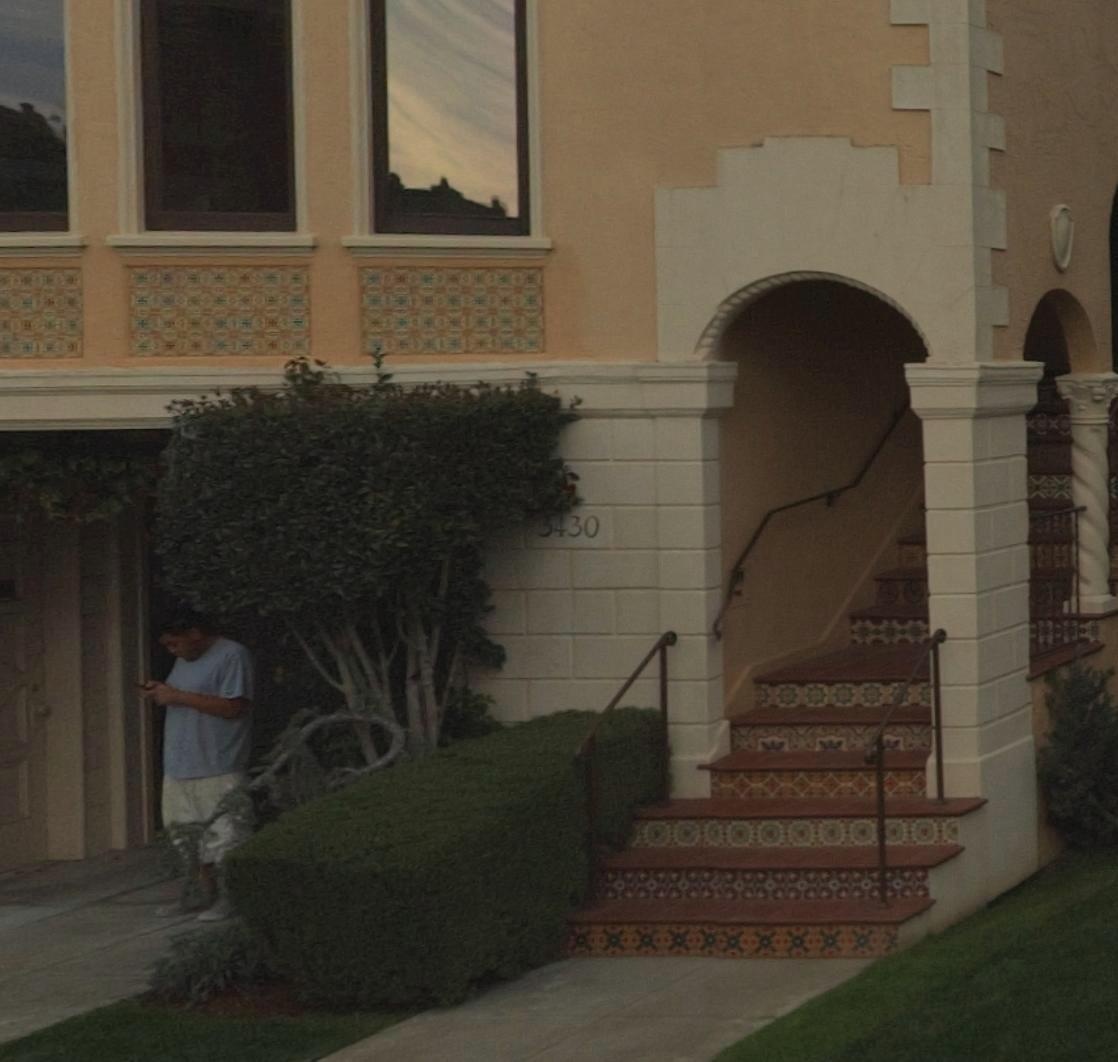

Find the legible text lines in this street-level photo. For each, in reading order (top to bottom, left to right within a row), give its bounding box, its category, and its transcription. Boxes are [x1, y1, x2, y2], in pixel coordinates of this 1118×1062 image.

[534, 512, 603, 541] StreetNumber: 3430